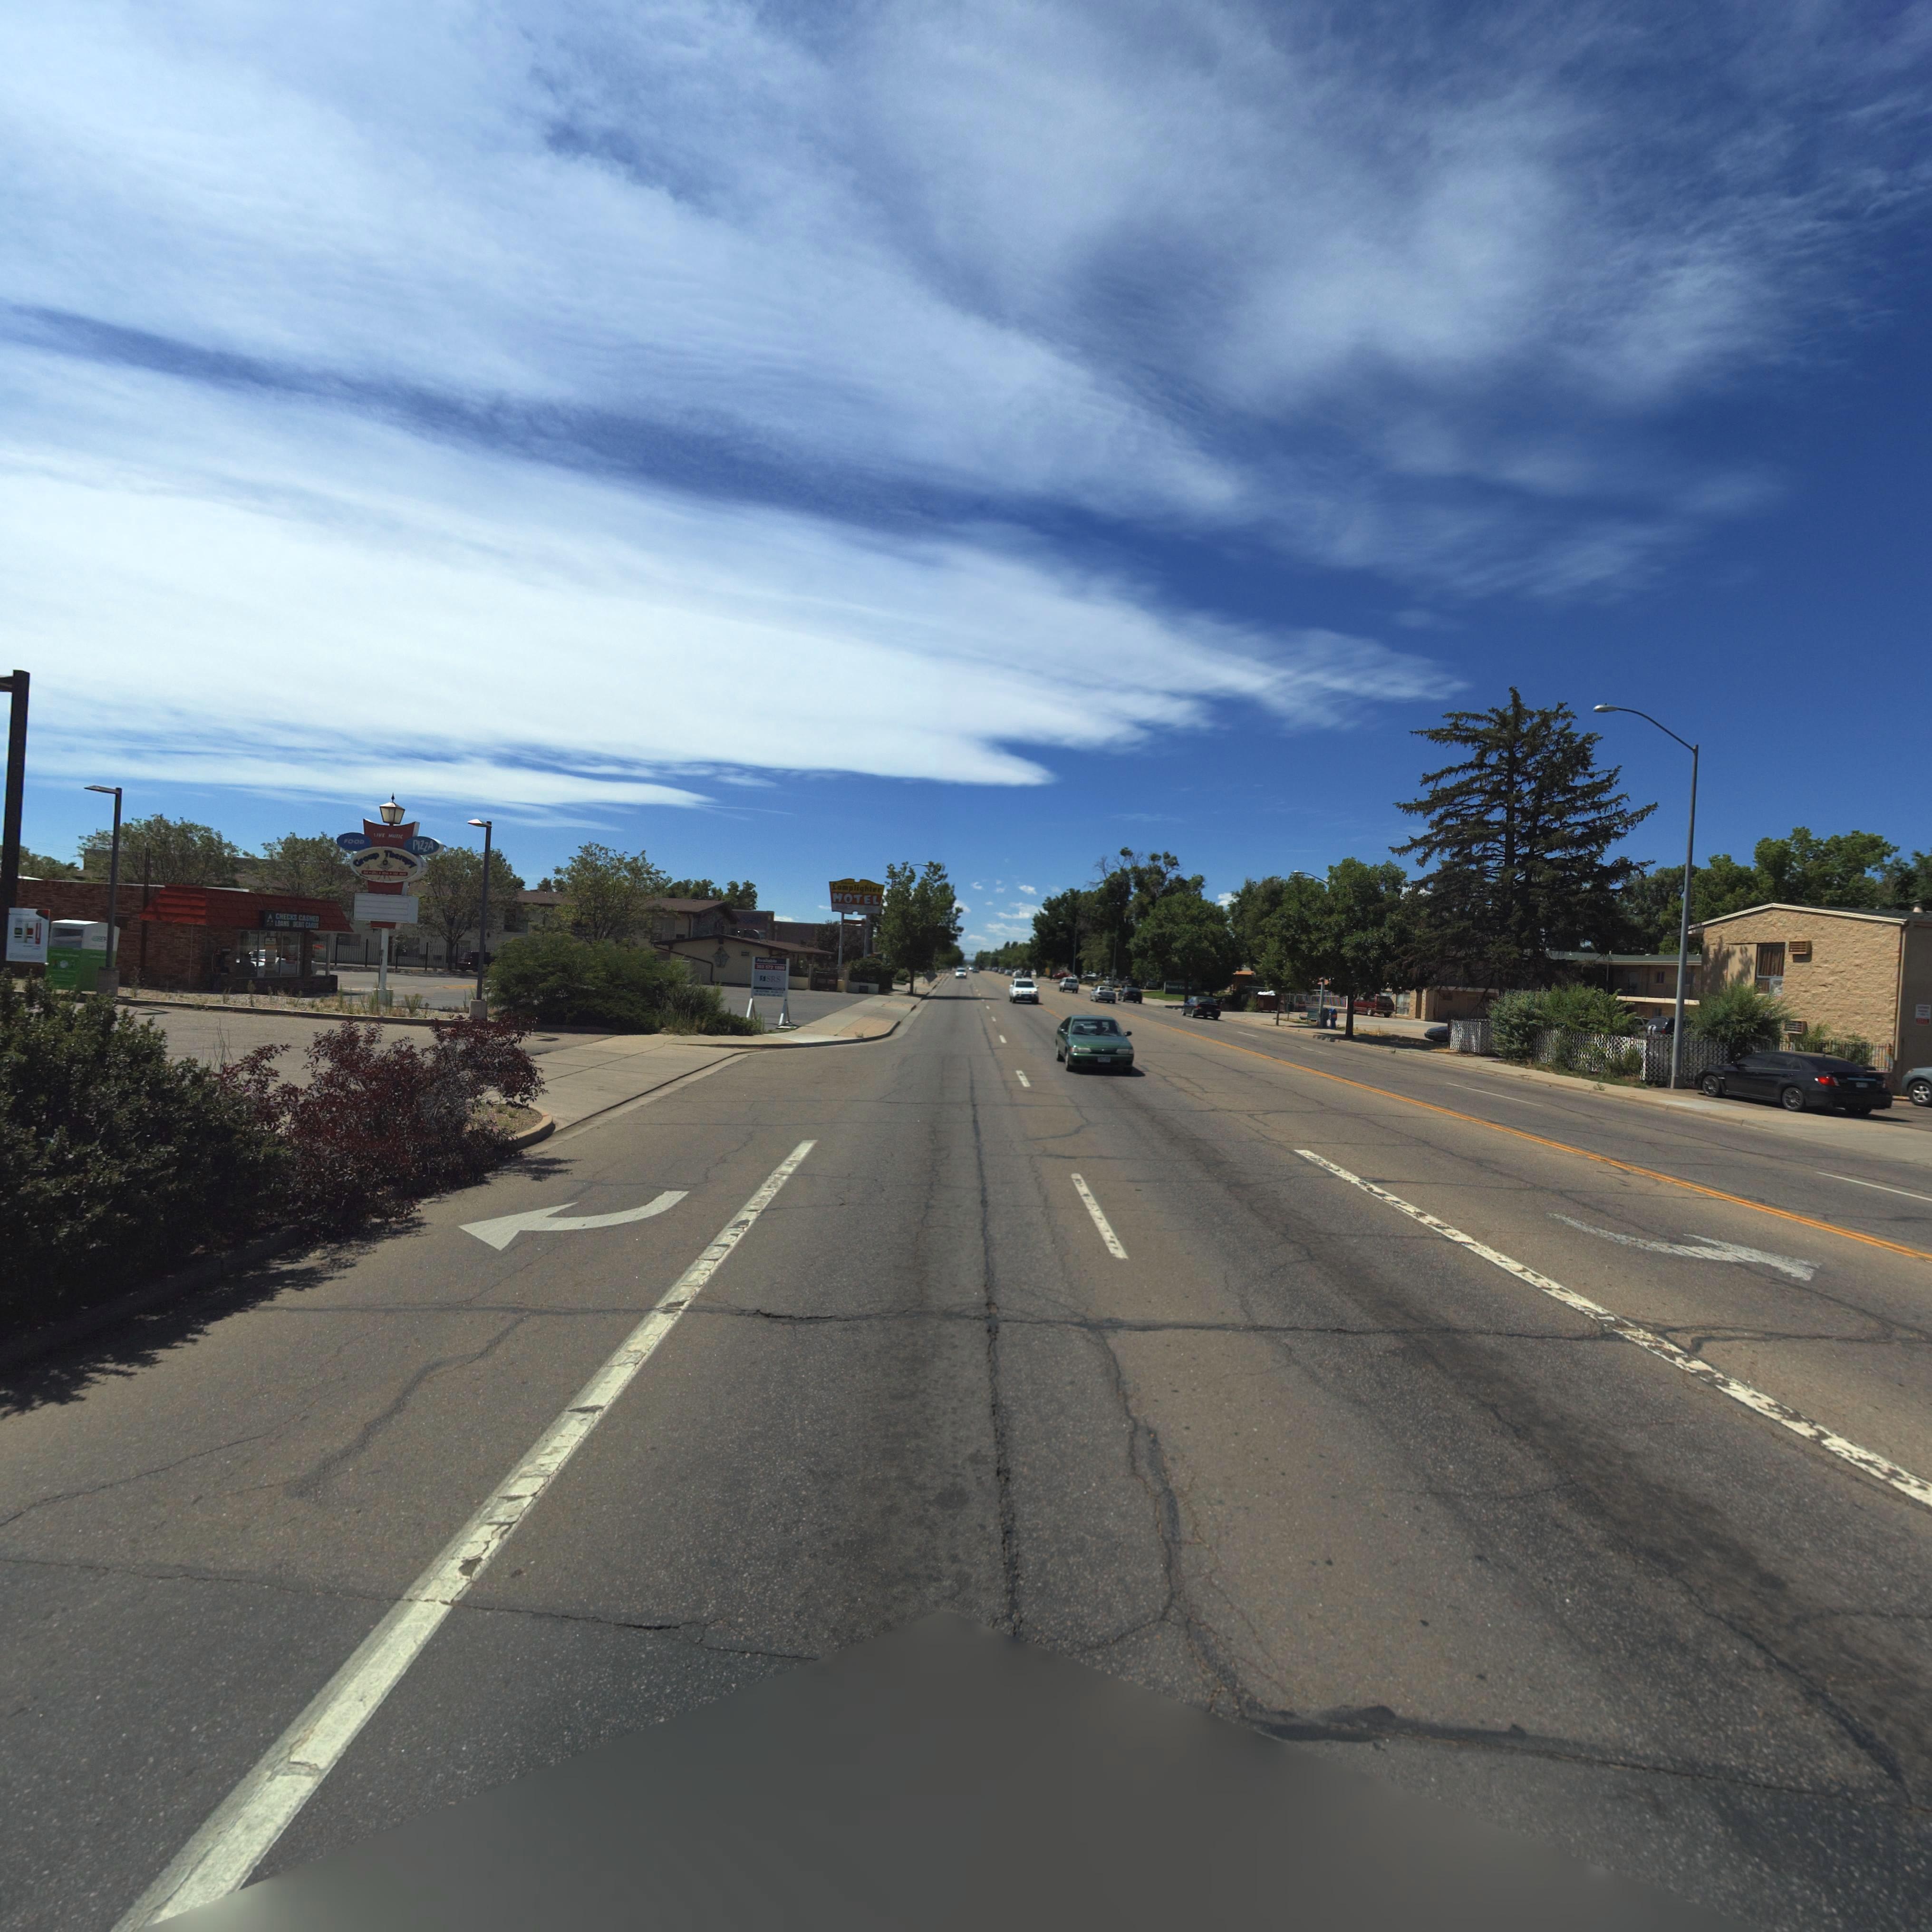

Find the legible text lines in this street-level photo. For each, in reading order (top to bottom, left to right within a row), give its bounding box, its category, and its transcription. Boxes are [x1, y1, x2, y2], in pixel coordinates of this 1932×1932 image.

[831, 881, 883, 893] BusinessName: Lamplighter
[832, 892, 879, 905] BusinessName: MOTEL
[275, 913, 319, 922] BusinessName: C*EC*S CAS*ED